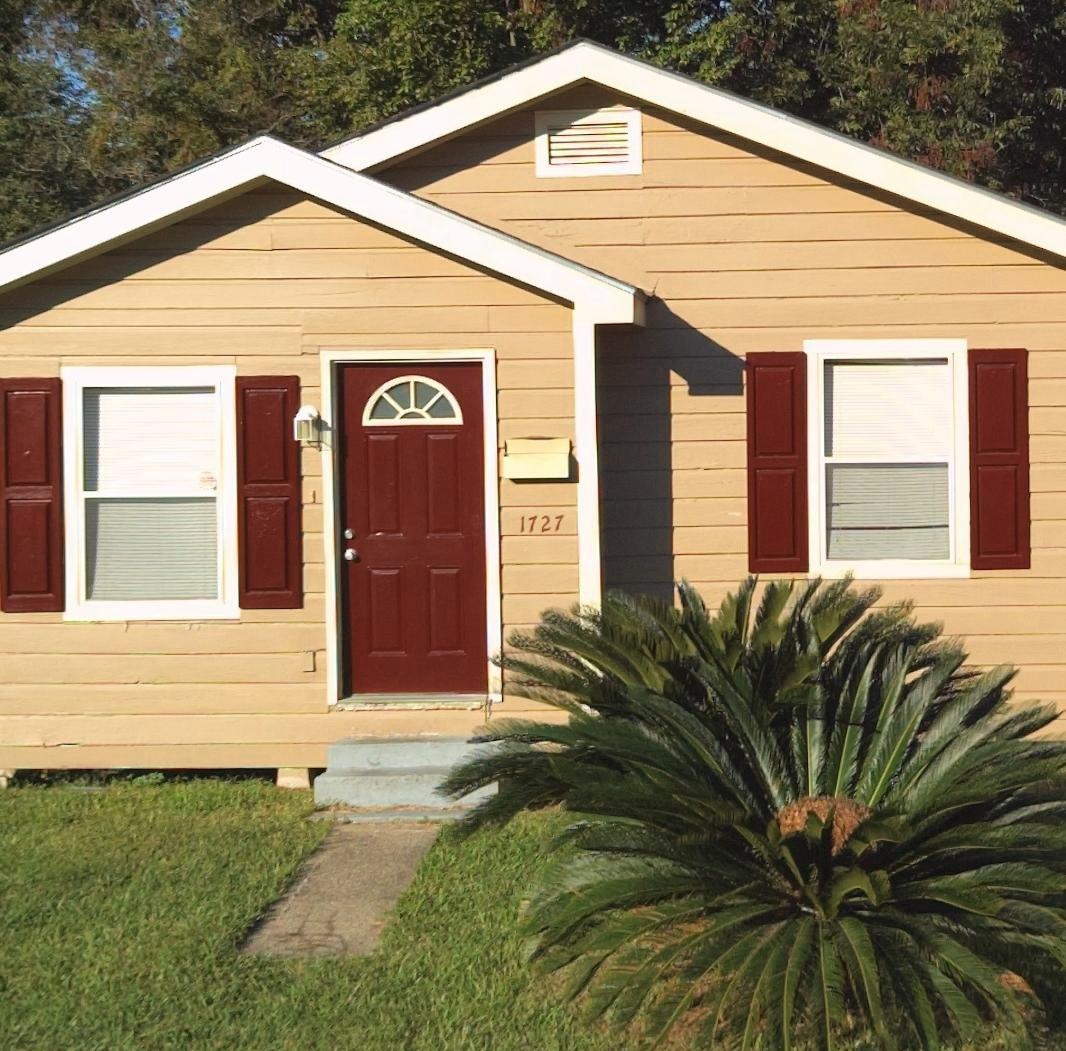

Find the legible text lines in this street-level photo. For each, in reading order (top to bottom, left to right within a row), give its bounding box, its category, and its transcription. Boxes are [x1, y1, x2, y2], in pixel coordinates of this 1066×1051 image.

[518, 513, 566, 535] StreetNumber: 1727